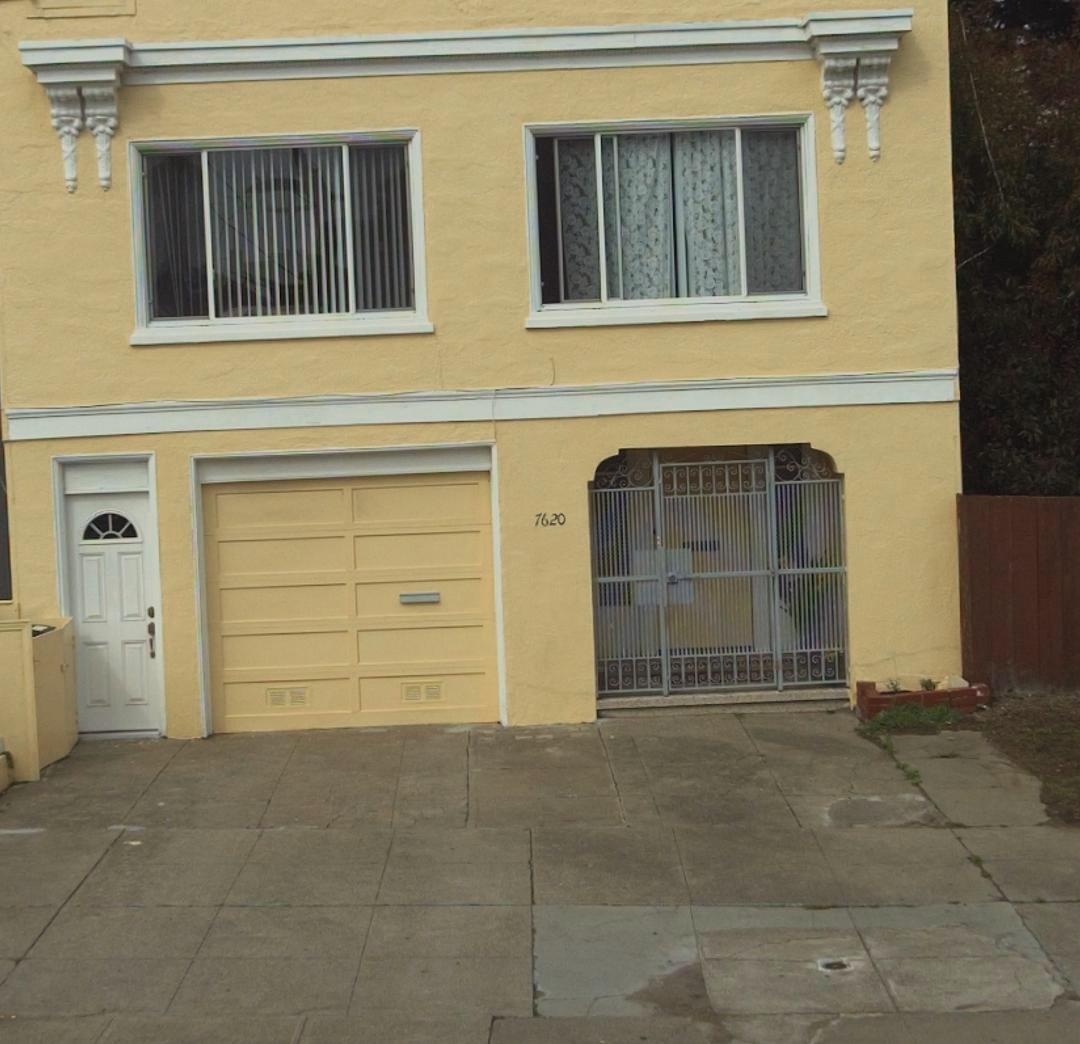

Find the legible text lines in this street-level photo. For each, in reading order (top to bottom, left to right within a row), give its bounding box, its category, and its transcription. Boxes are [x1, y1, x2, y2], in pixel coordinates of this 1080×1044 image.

[532, 511, 568, 529] StreetNumber: 7620